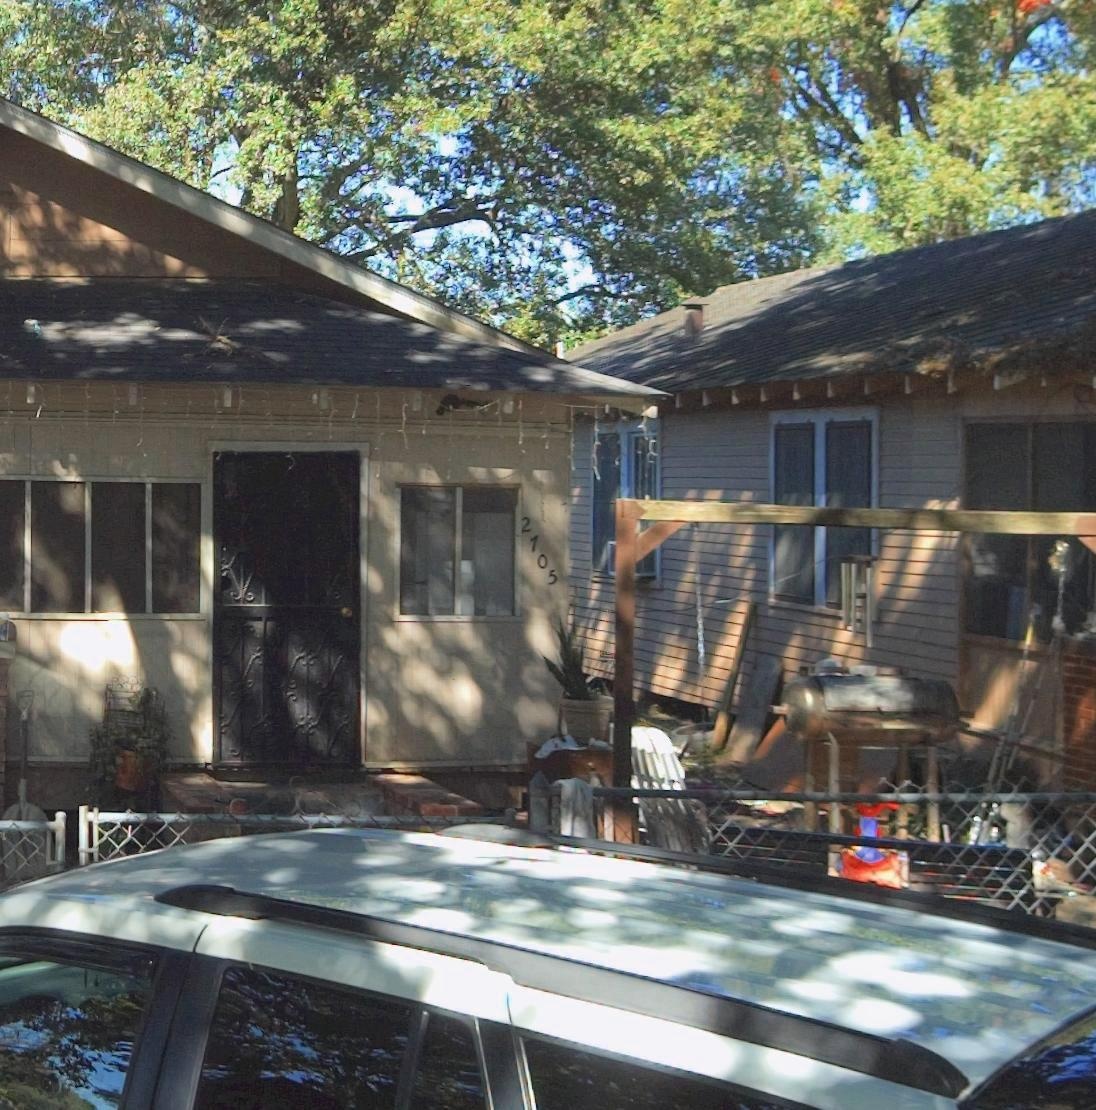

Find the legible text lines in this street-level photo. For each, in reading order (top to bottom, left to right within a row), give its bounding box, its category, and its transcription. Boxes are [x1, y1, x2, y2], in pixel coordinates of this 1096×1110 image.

[518, 515, 560, 587] StreetNumber: 2705